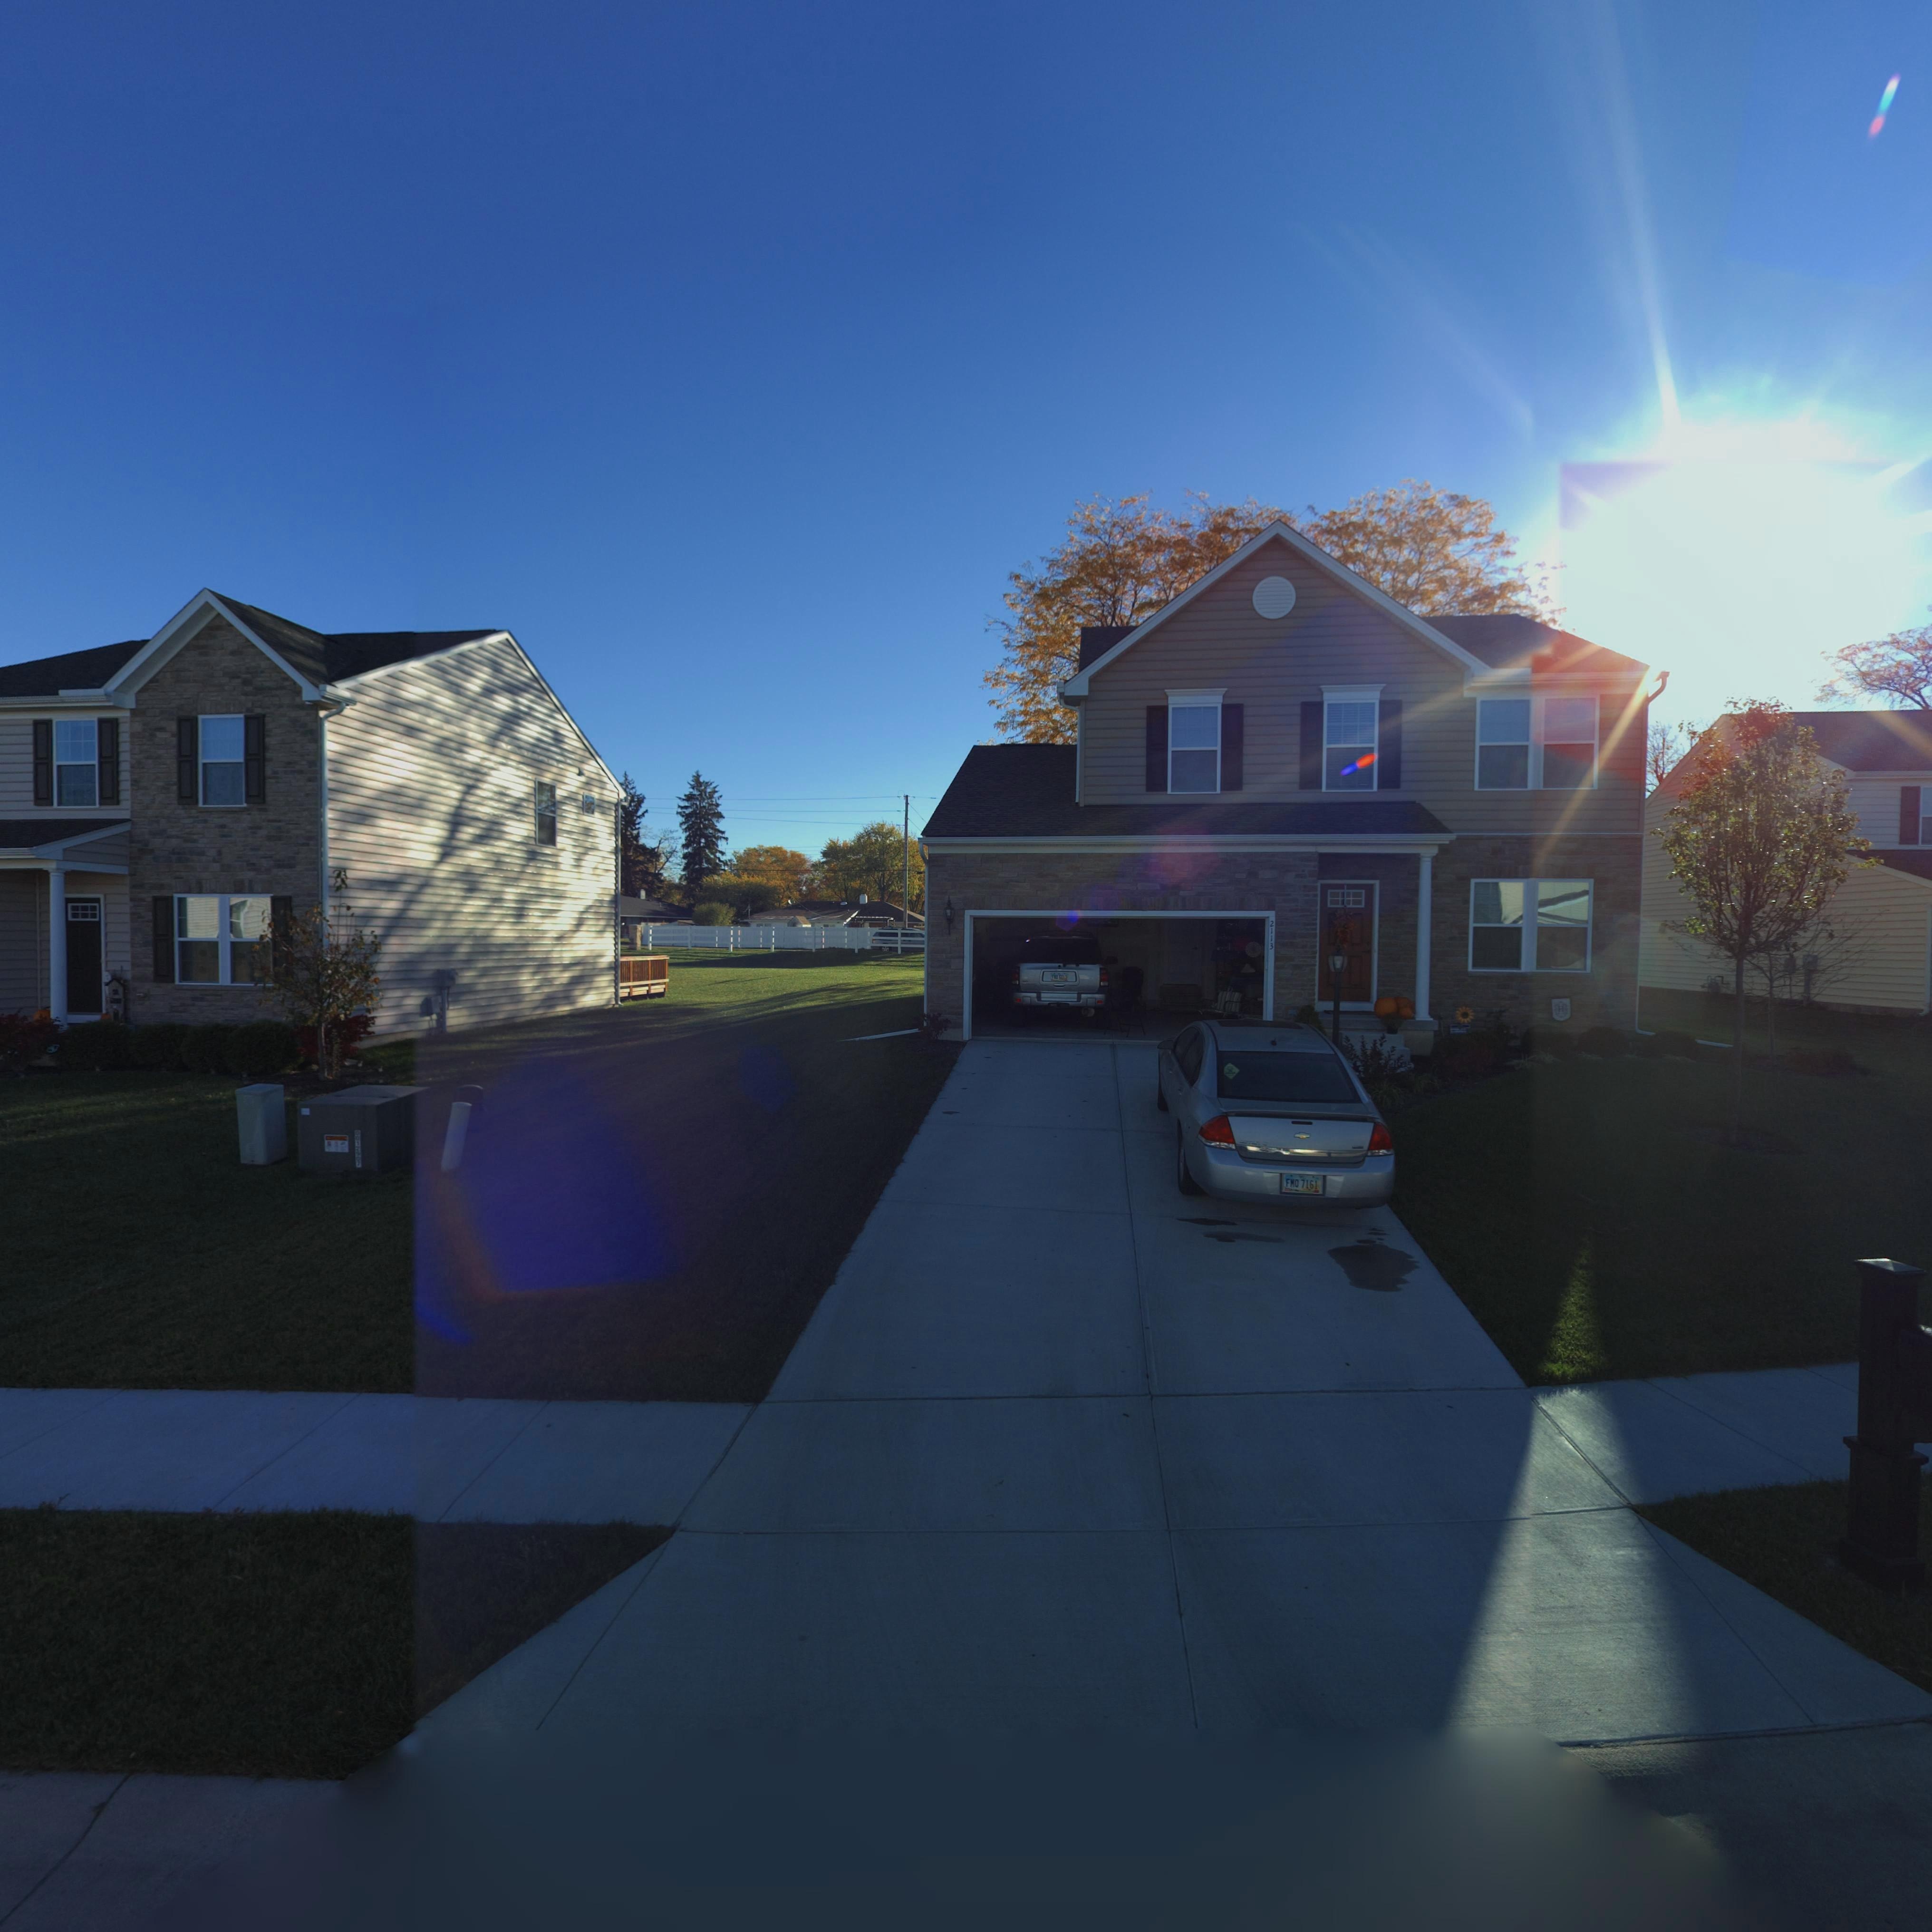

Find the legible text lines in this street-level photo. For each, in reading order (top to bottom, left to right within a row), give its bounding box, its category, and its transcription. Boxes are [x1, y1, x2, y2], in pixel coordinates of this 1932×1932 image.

[1268, 919, 1275, 950] StreetNumber: 2113